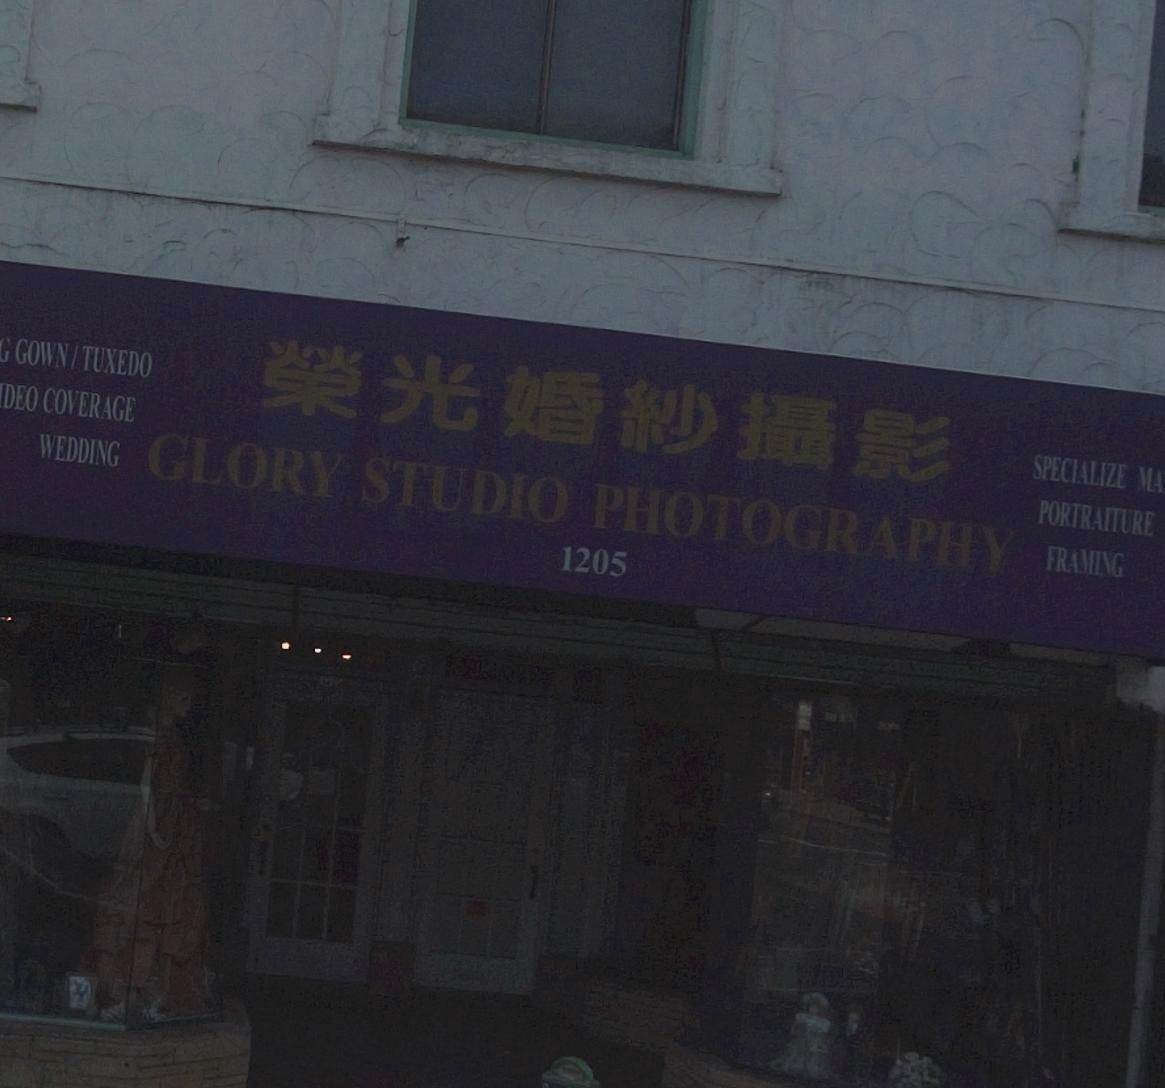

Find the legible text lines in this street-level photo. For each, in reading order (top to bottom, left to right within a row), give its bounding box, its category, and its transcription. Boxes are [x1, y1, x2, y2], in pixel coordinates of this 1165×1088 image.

[12, 334, 156, 381] None: GOWN / TUXEDO
[1, 379, 139, 426] None: DEO COVERAGE
[35, 428, 124, 472] None: WEDDING
[1028, 451, 1164, 497] None: SPECIALIZE MA
[140, 421, 1031, 582] BusinessName: GLORY STUDIO PHOTOGRAPHY
[1033, 495, 1159, 541] None: PORTRAITURE
[557, 542, 632, 581] StreetNumber: 1205
[1040, 540, 1130, 583] None: FRAMING